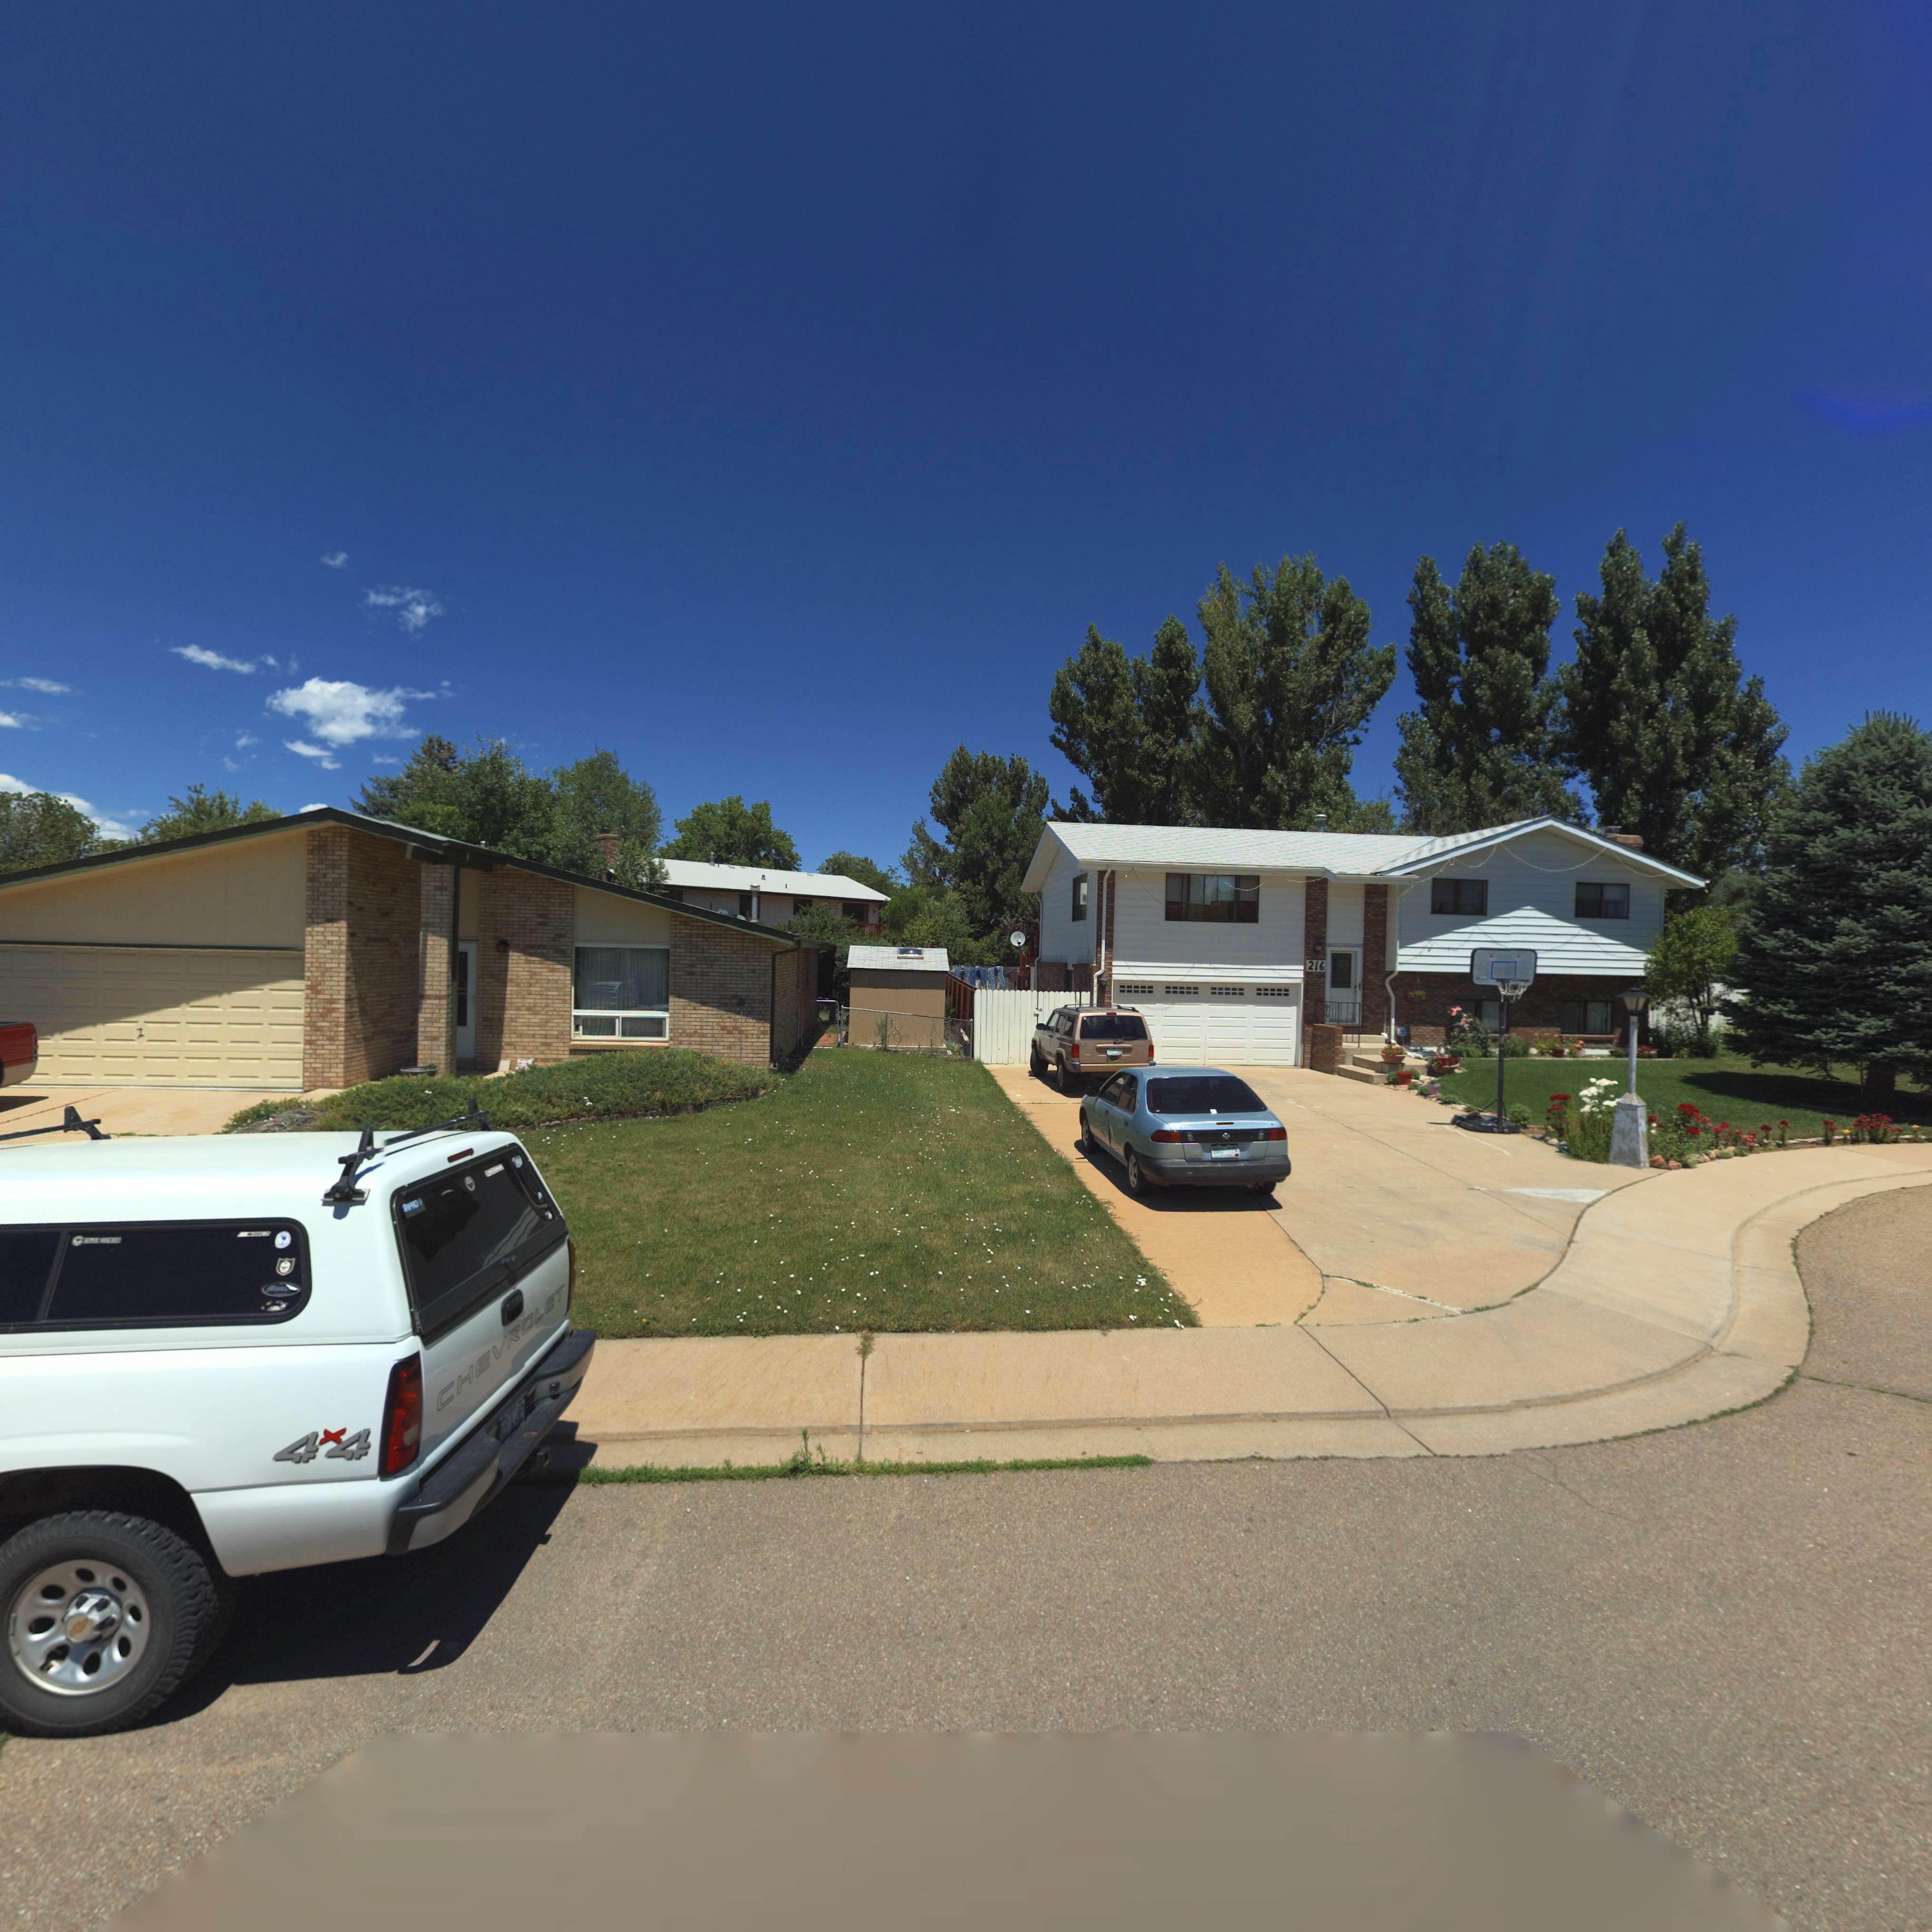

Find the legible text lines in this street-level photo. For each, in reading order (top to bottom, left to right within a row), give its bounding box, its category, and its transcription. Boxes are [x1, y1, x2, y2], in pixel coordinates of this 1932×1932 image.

[1308, 960, 1324, 971] StreetNumber: 216